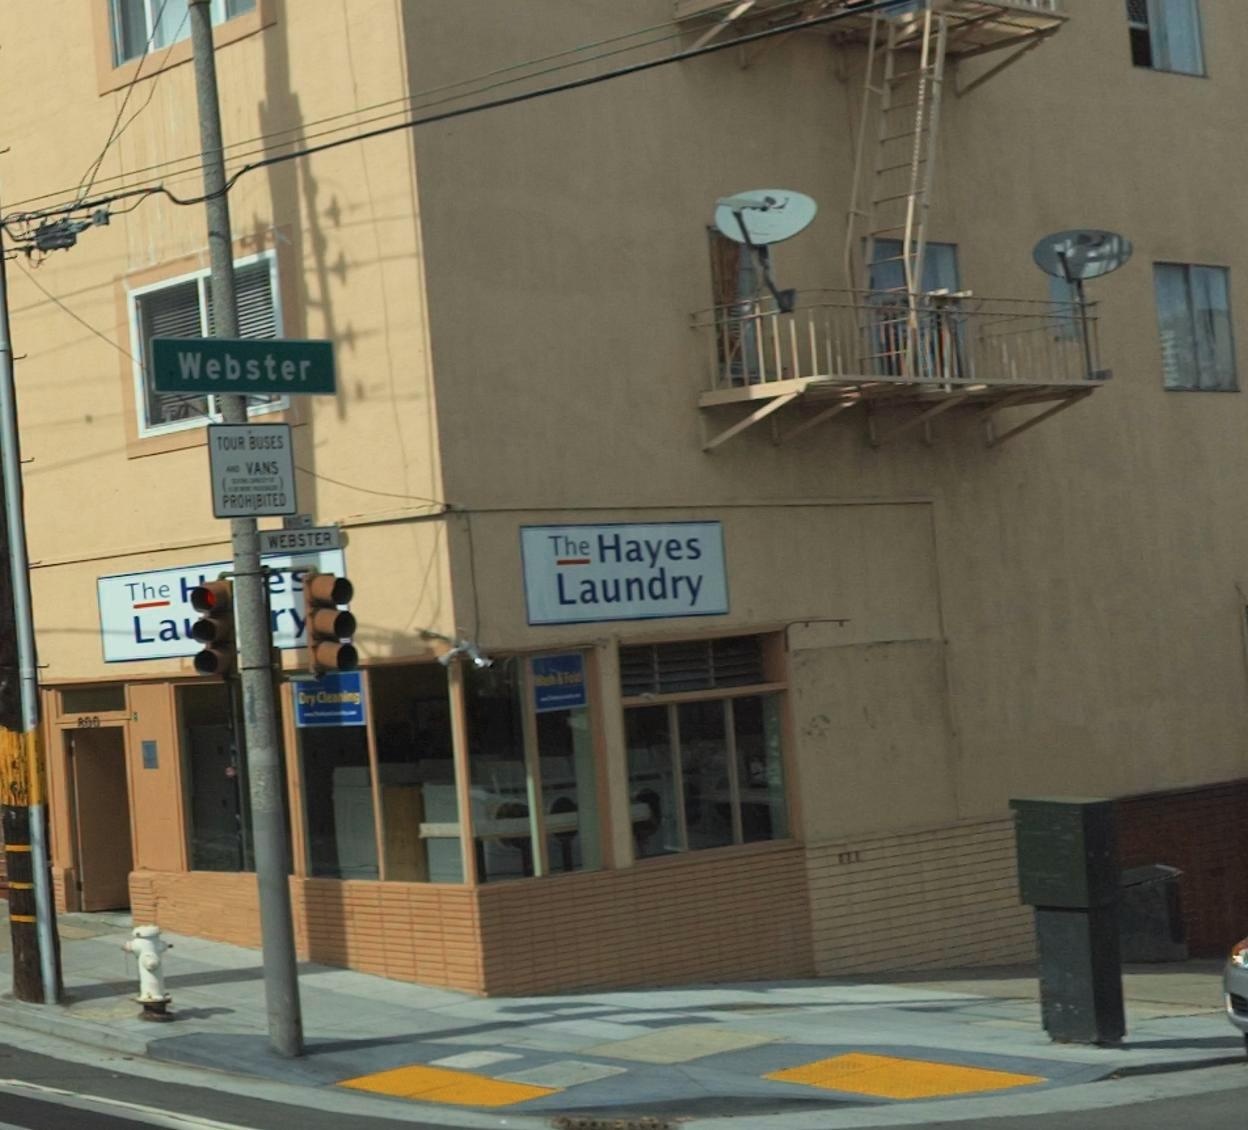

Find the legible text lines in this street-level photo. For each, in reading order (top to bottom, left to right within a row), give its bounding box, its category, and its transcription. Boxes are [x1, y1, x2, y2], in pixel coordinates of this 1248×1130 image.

[172, 347, 314, 384] StreetName: Webster
[214, 433, 286, 453] None: TOUR BUSES
[242, 458, 281, 479] None: VANS
[220, 491, 288, 510] None: PROHIBITED
[263, 529, 334, 551] StreetName: WEBSTER
[545, 532, 705, 570] BusinessName: The Hayes
[120, 579, 174, 604] BusinessName: The
[555, 564, 707, 611] BusinessName: Laundry
[130, 611, 185, 647] BusinessName: La
[297, 687, 362, 709] None: Dry Cleaning
[76, 714, 103, 731] StreetNumber: 8*0